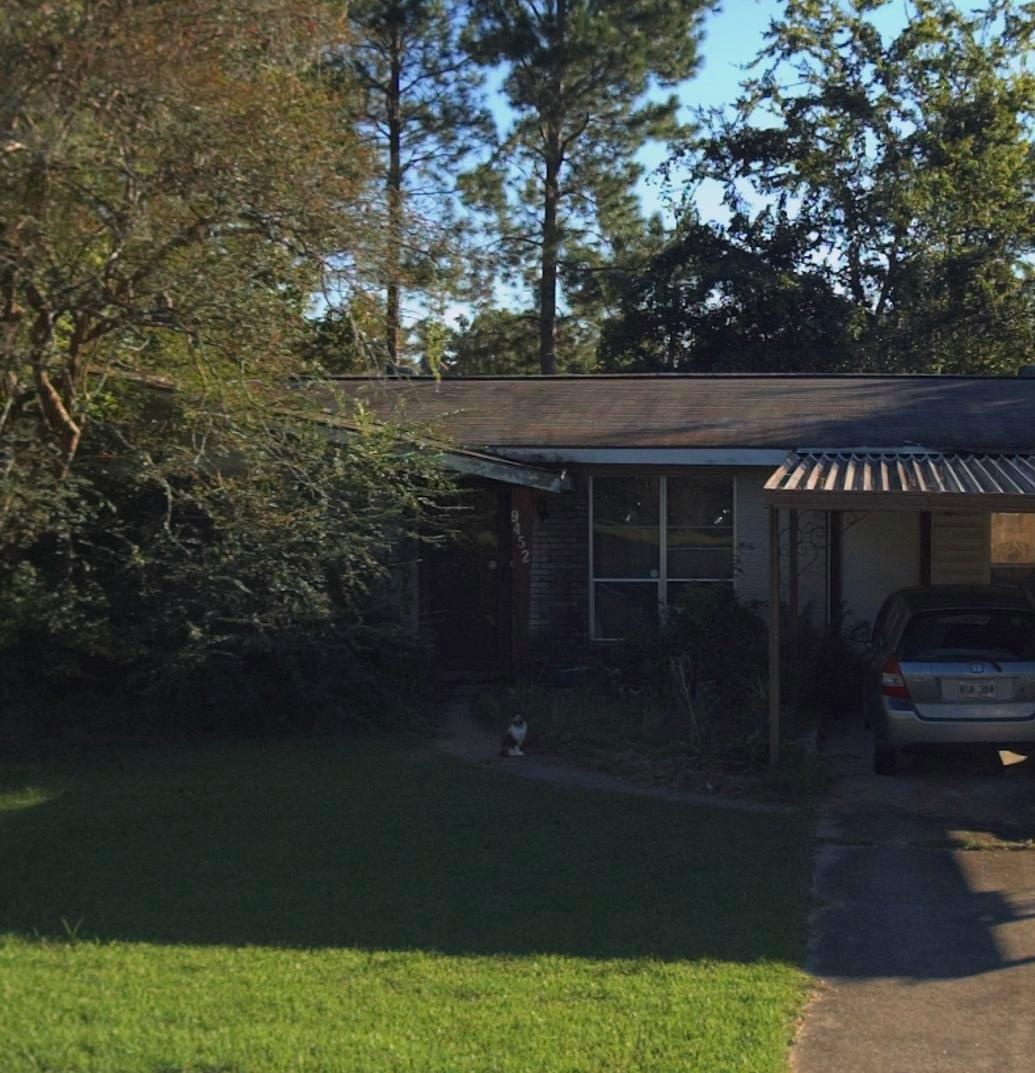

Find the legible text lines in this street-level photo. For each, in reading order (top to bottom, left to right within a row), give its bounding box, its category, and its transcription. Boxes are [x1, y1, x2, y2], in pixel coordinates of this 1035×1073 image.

[510, 509, 531, 564] StreetNumber: 9452
[959, 683, 996, 696] None: RSN 384